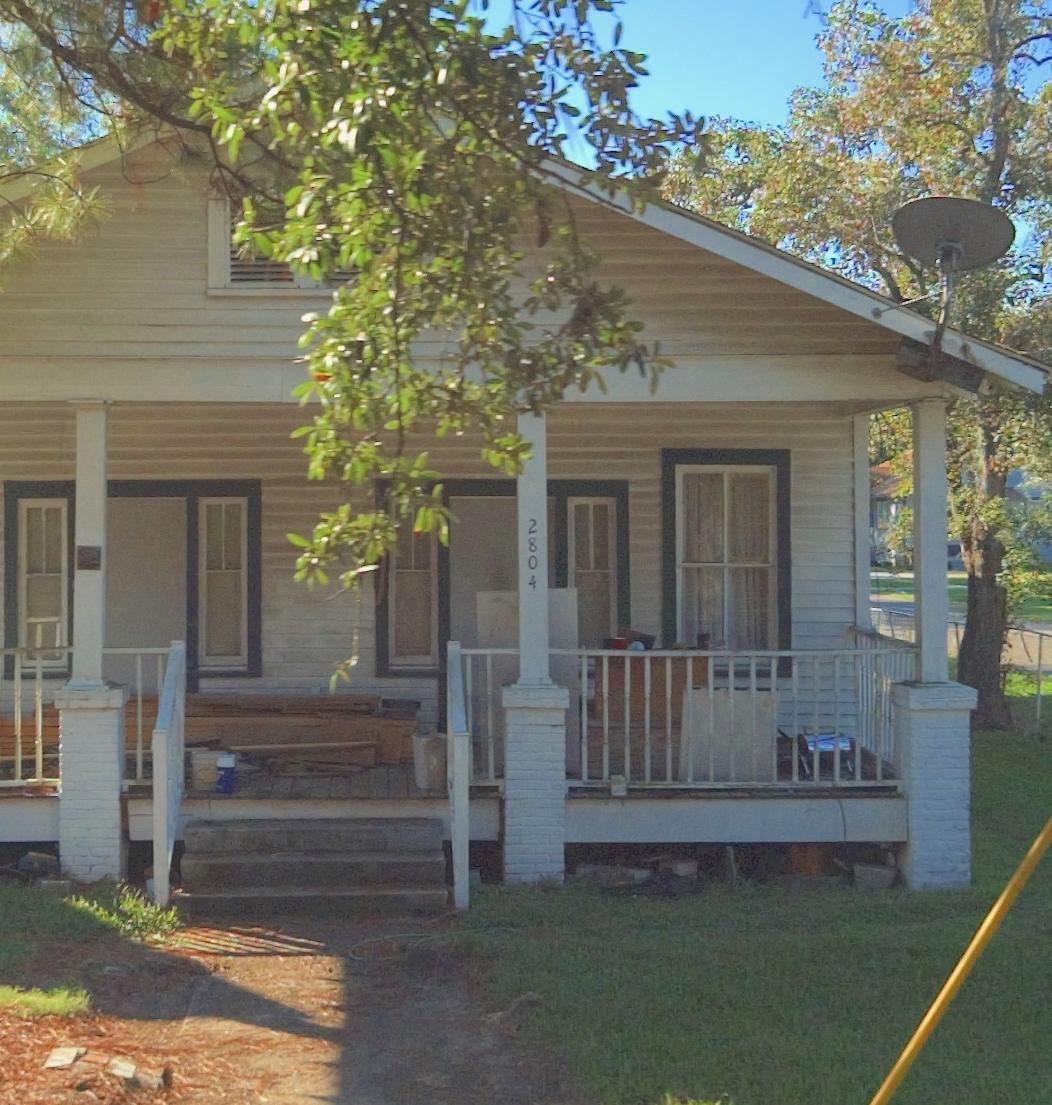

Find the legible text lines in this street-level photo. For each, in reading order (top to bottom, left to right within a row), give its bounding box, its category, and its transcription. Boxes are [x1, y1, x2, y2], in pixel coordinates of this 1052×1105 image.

[525, 516, 540, 593] StreetNumber: 2804